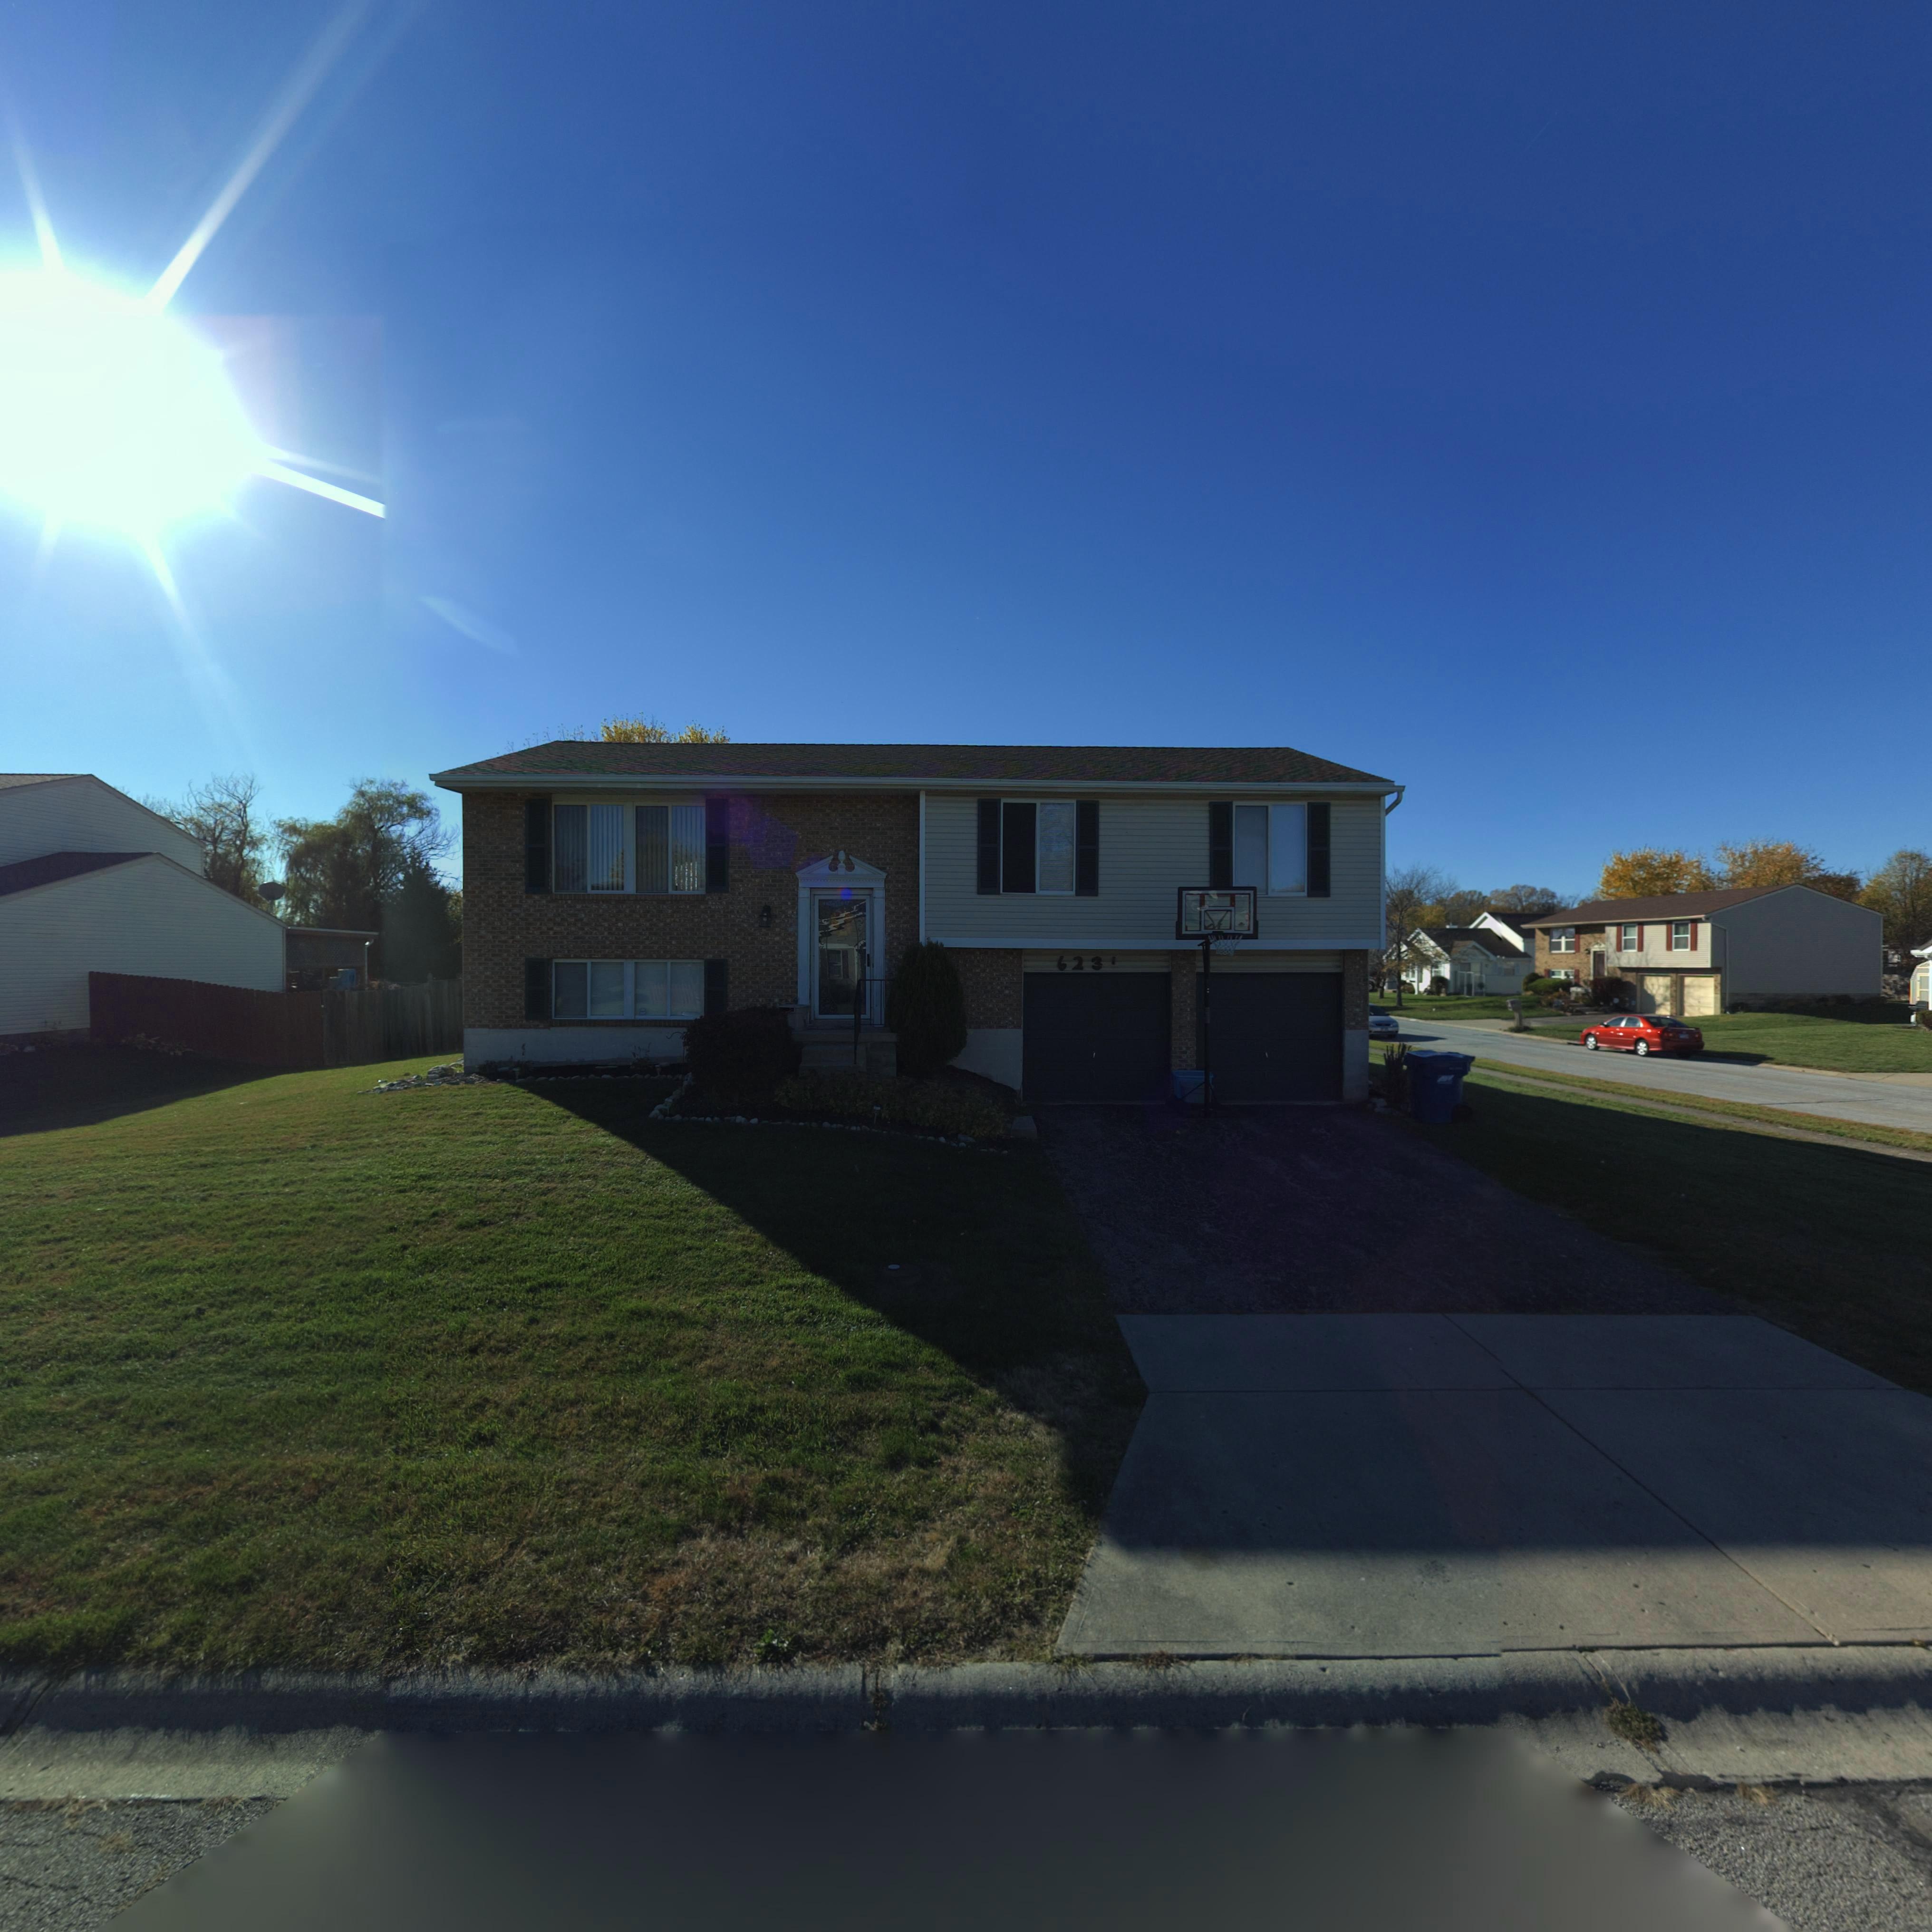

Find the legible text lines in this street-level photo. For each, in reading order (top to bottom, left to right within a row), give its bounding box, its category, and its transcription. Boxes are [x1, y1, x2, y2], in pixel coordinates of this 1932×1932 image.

[1055, 955, 1117, 973] StreetNumber: 623*